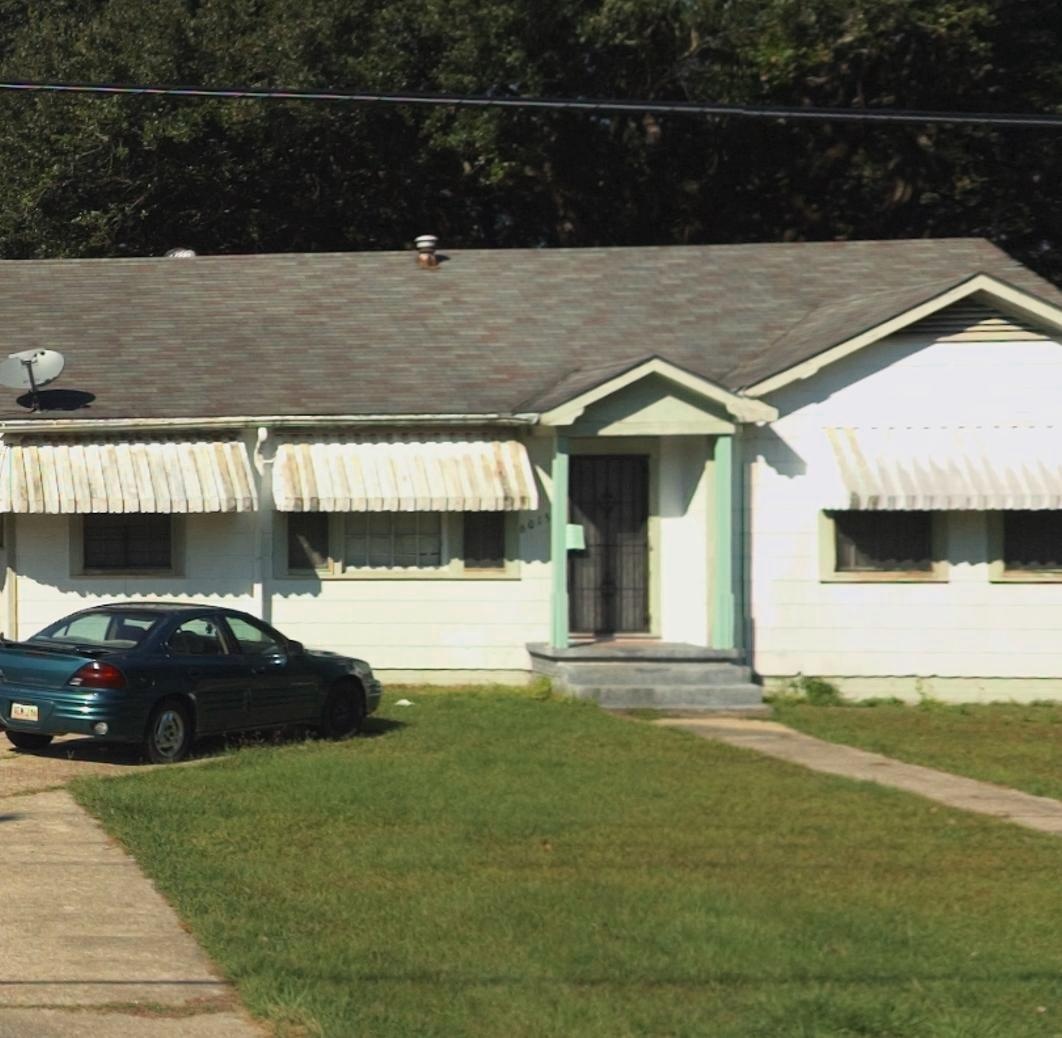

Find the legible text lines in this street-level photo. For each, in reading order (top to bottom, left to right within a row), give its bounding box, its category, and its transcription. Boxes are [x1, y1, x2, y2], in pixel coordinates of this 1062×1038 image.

[518, 511, 551, 534] StreetNumber: 6015